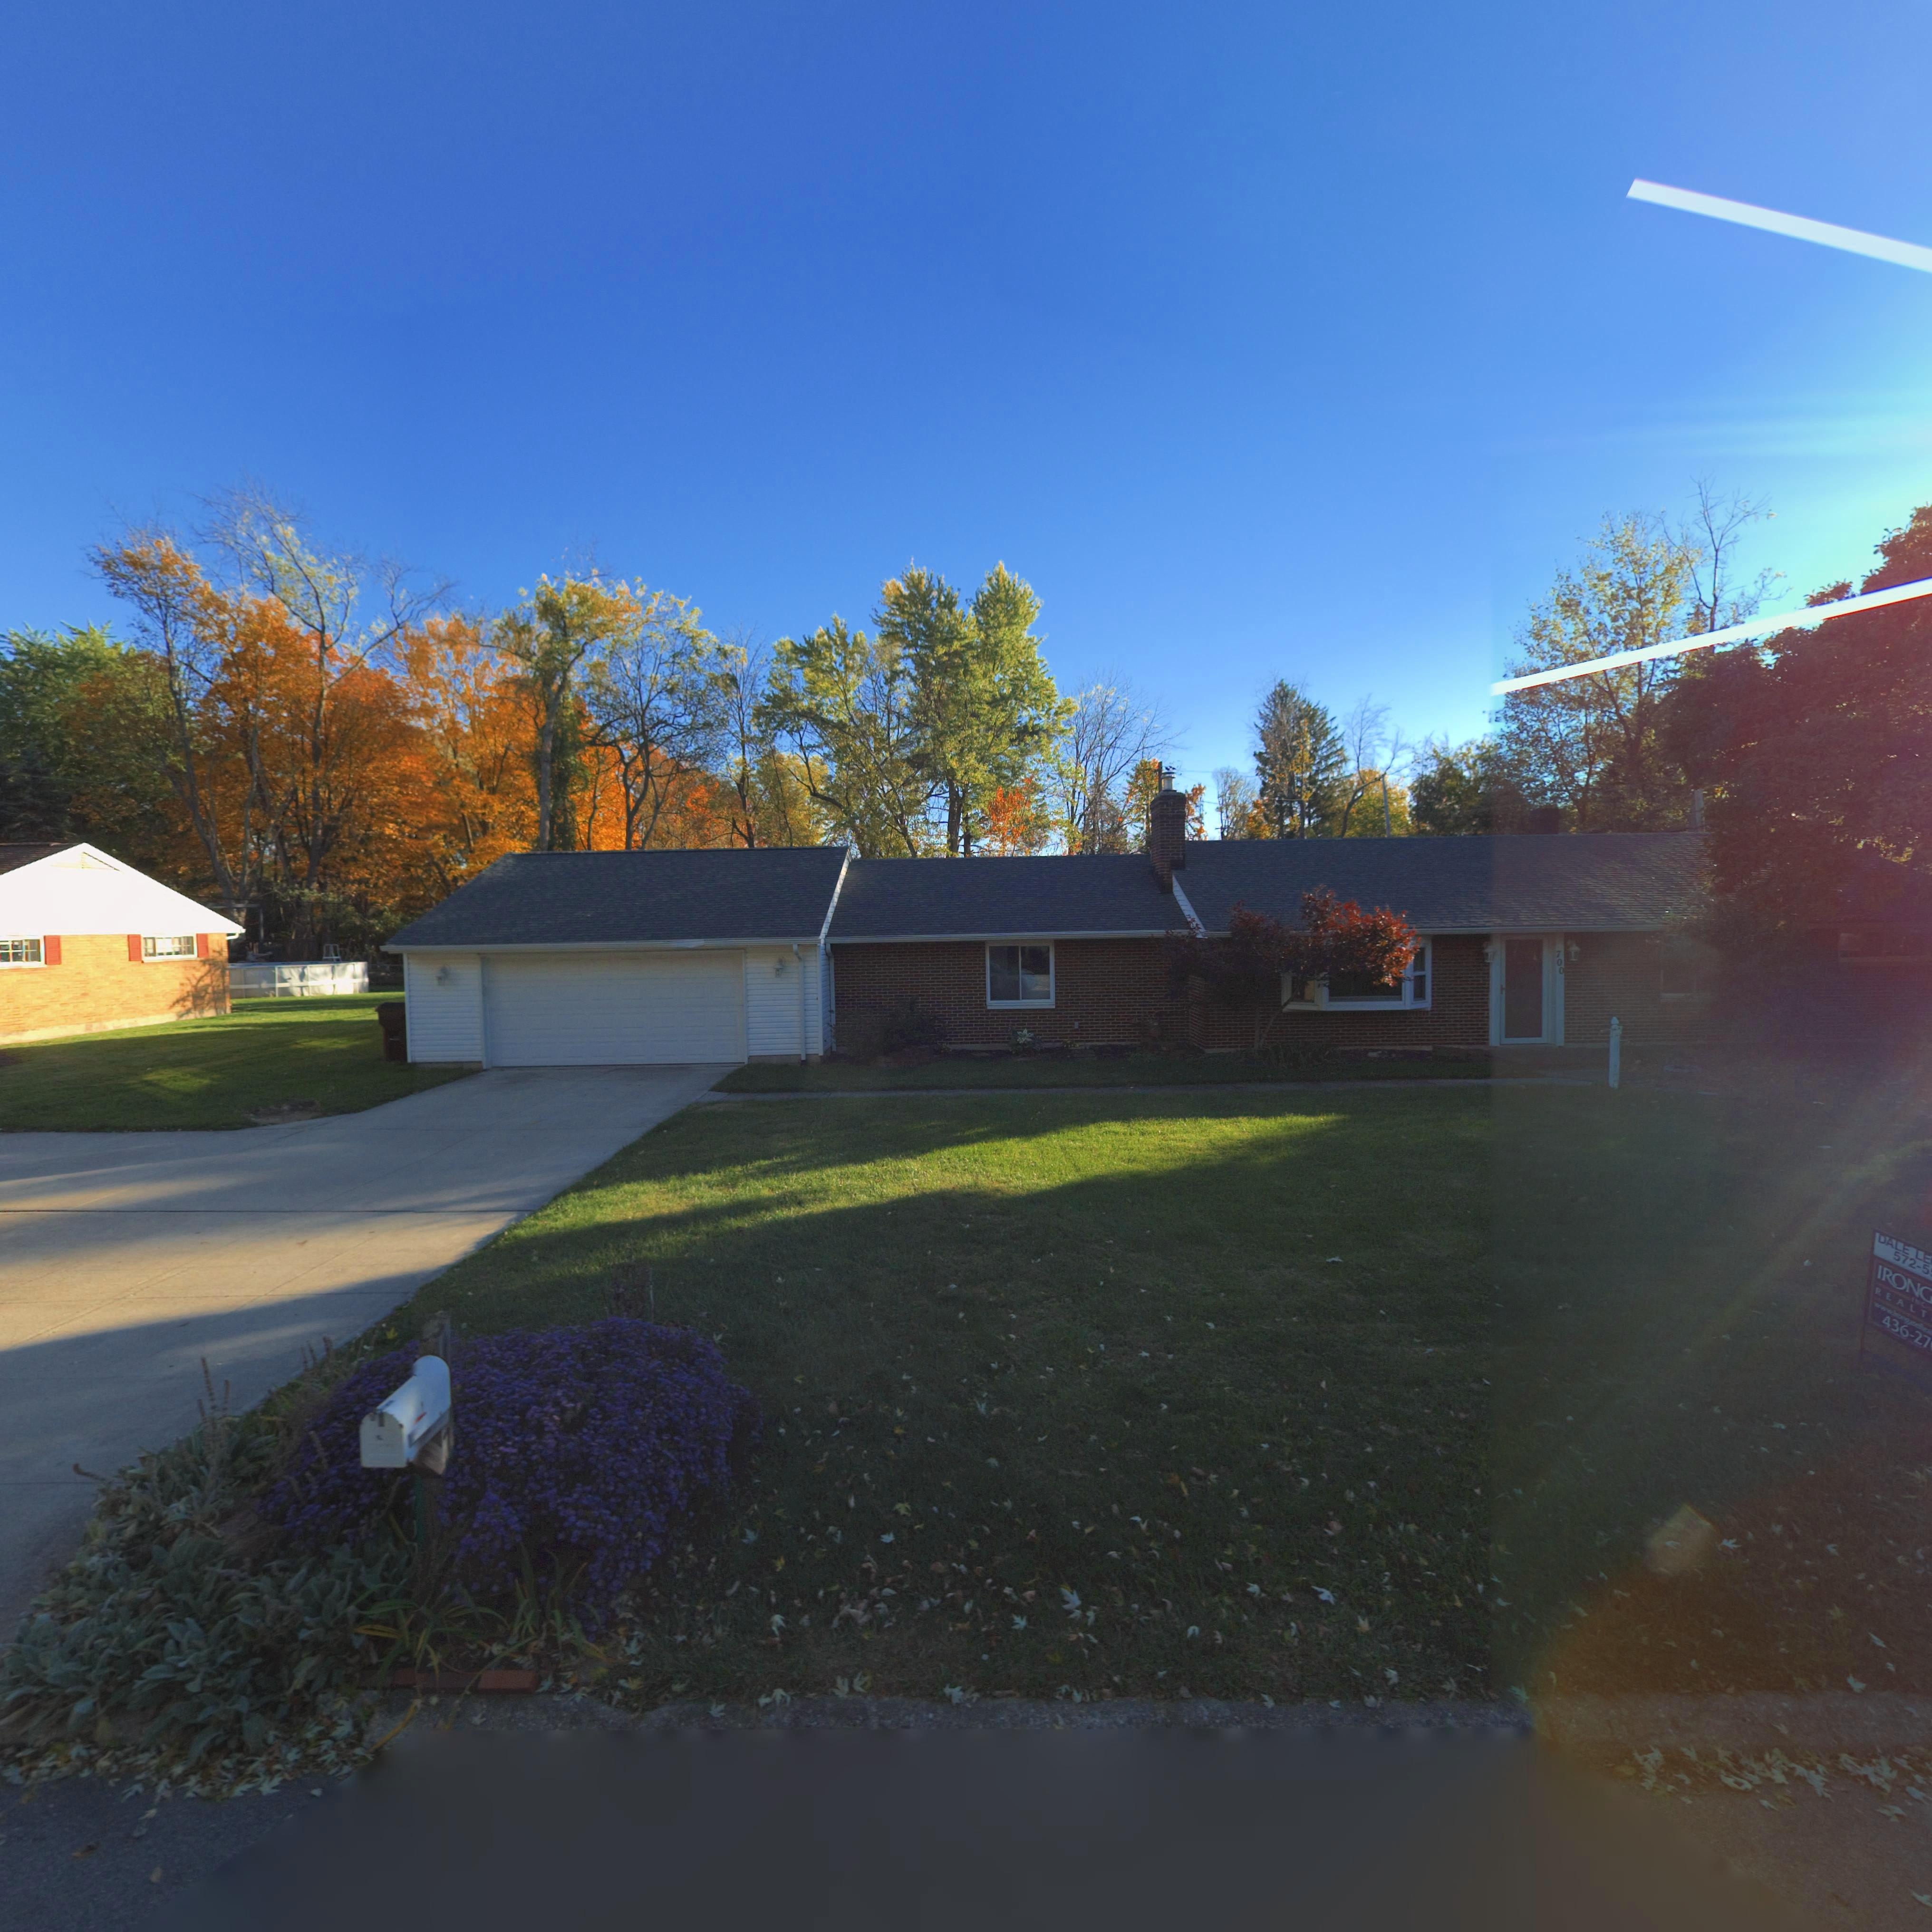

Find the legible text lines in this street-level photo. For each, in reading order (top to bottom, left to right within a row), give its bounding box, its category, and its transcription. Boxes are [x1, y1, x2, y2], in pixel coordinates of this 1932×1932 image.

[1555, 949, 1565, 976] StreetNumber: 700
[1877, 1231, 1932, 1266] None: DALE LE
[1892, 1250, 1932, 1277] None: 572-5
[1875, 1263, 1932, 1306] None: IRONG
[1874, 1285, 1929, 1320] None: REALT
[1881, 1314, 1932, 1350] None: 436-27